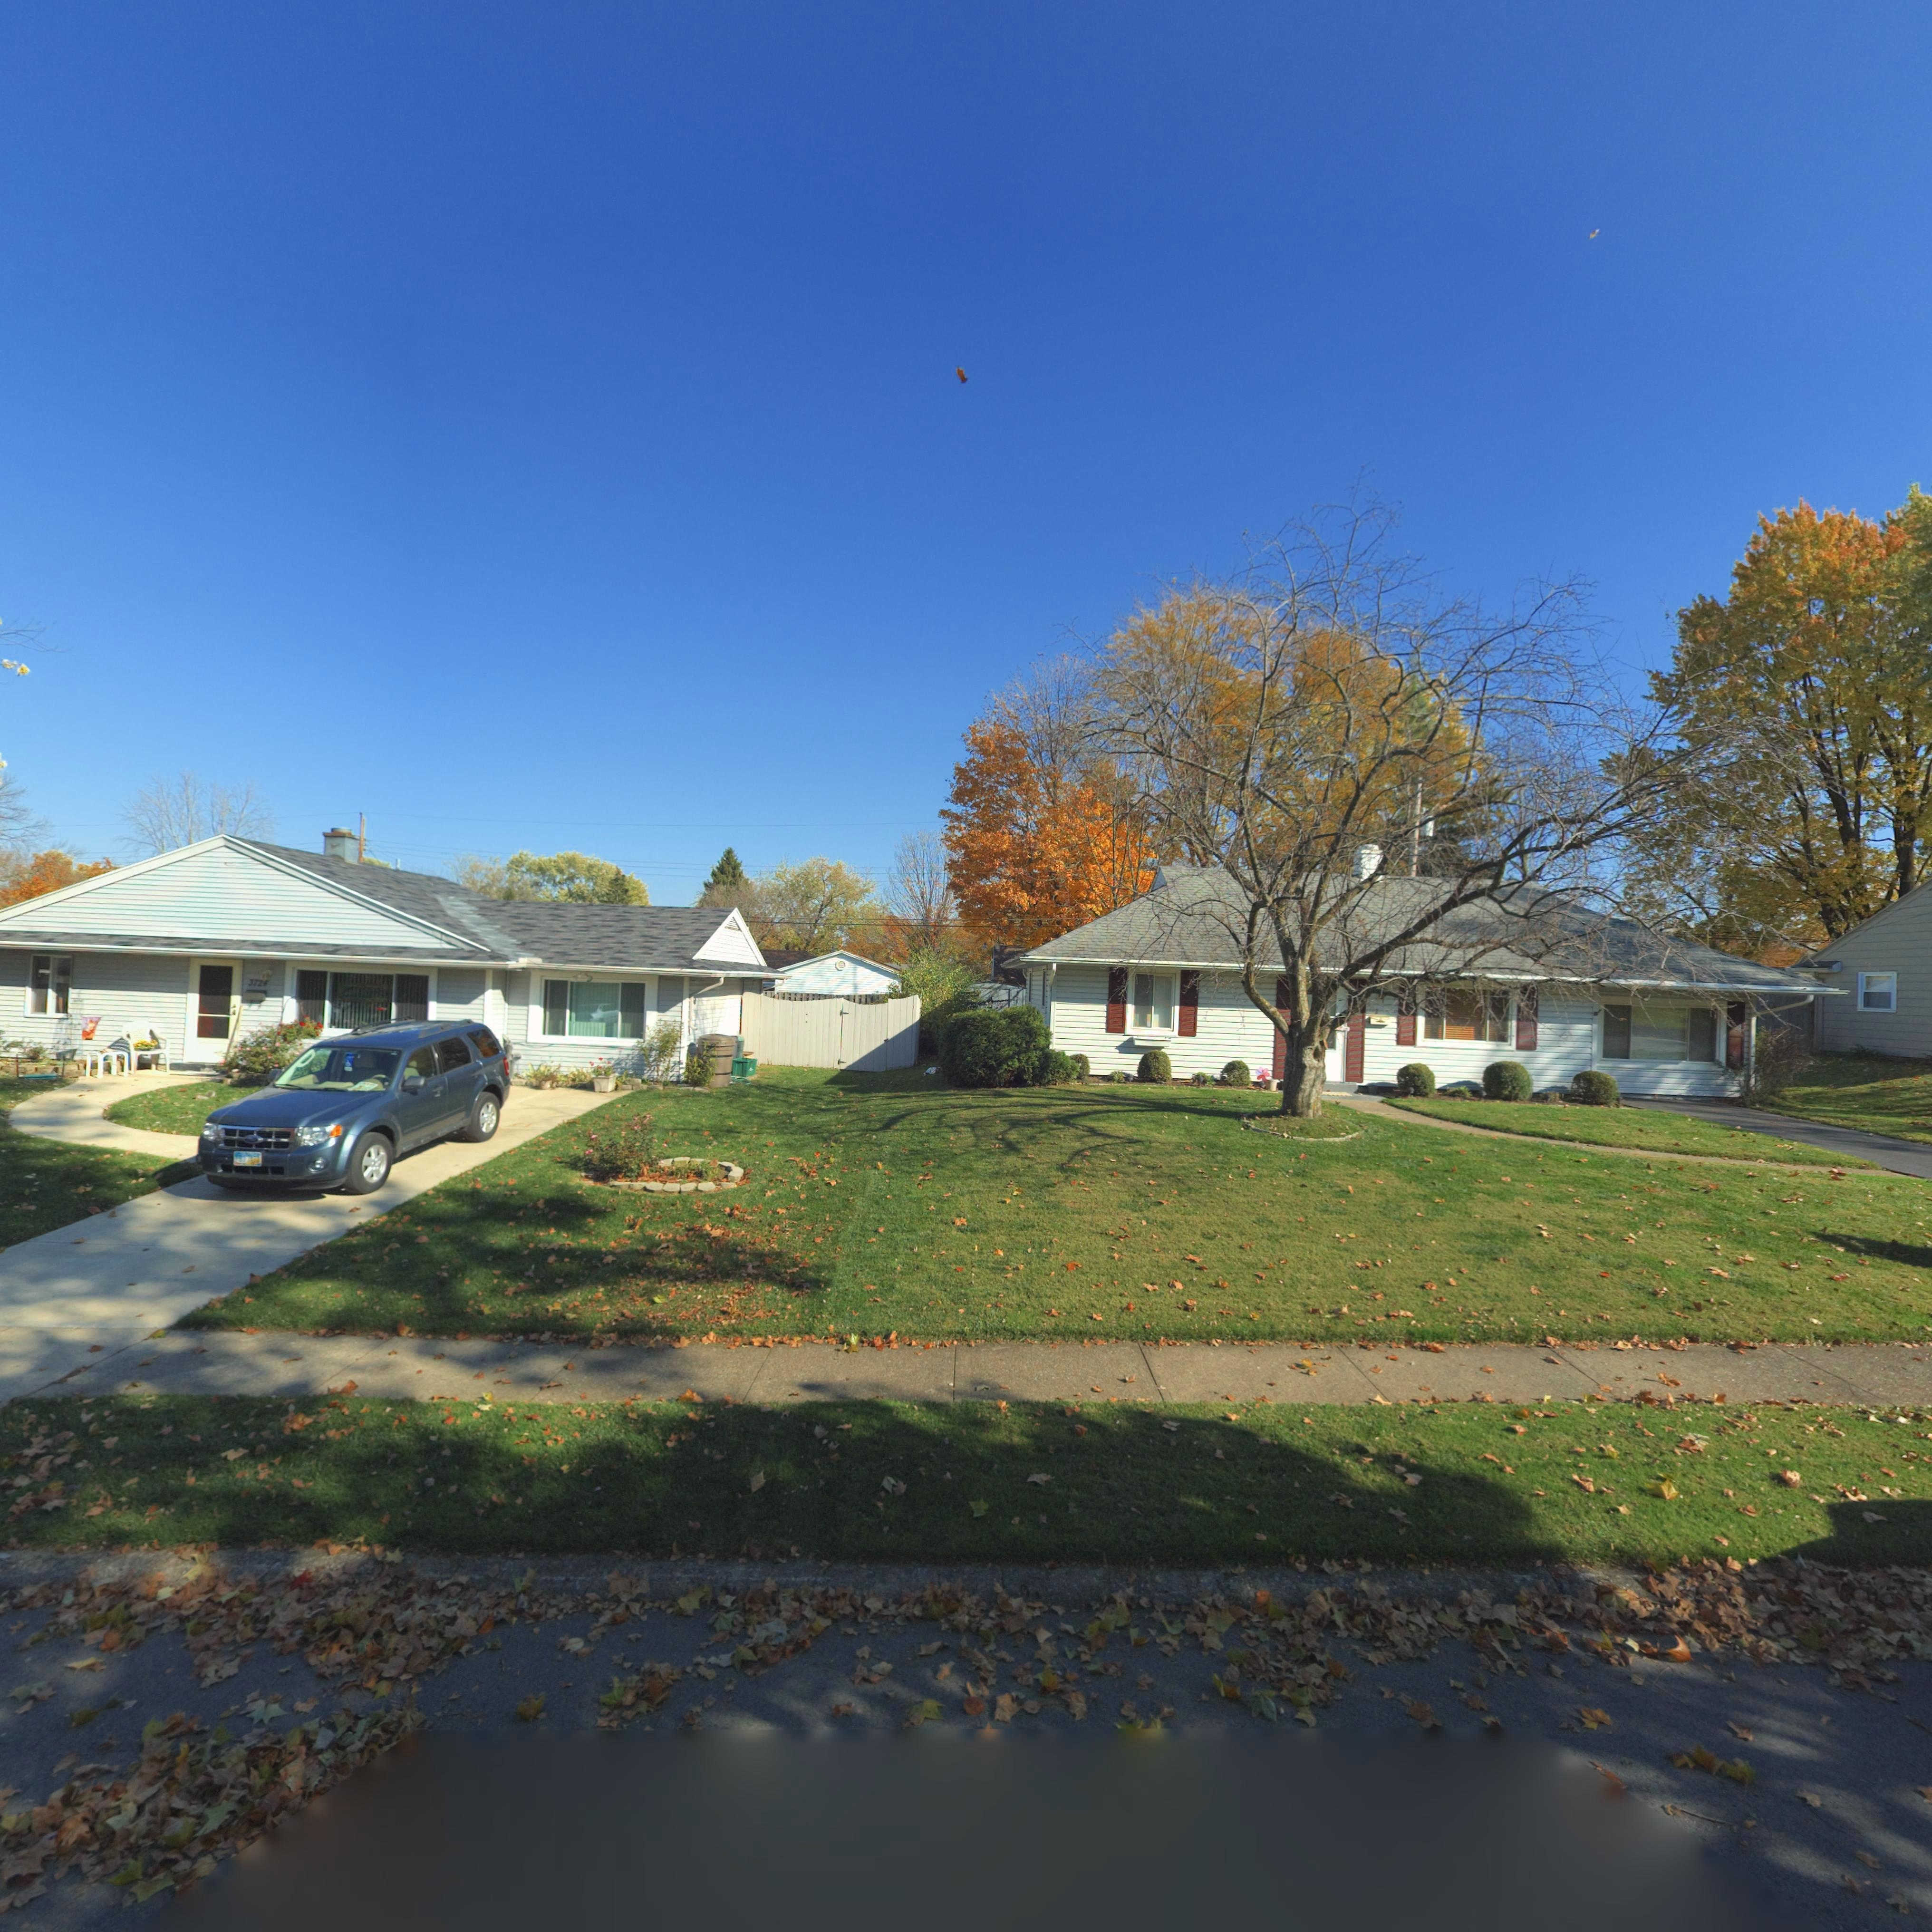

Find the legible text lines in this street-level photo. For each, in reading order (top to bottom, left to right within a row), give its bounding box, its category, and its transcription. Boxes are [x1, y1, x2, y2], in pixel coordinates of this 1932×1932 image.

[247, 978, 270, 988] StreetNumber: 3724